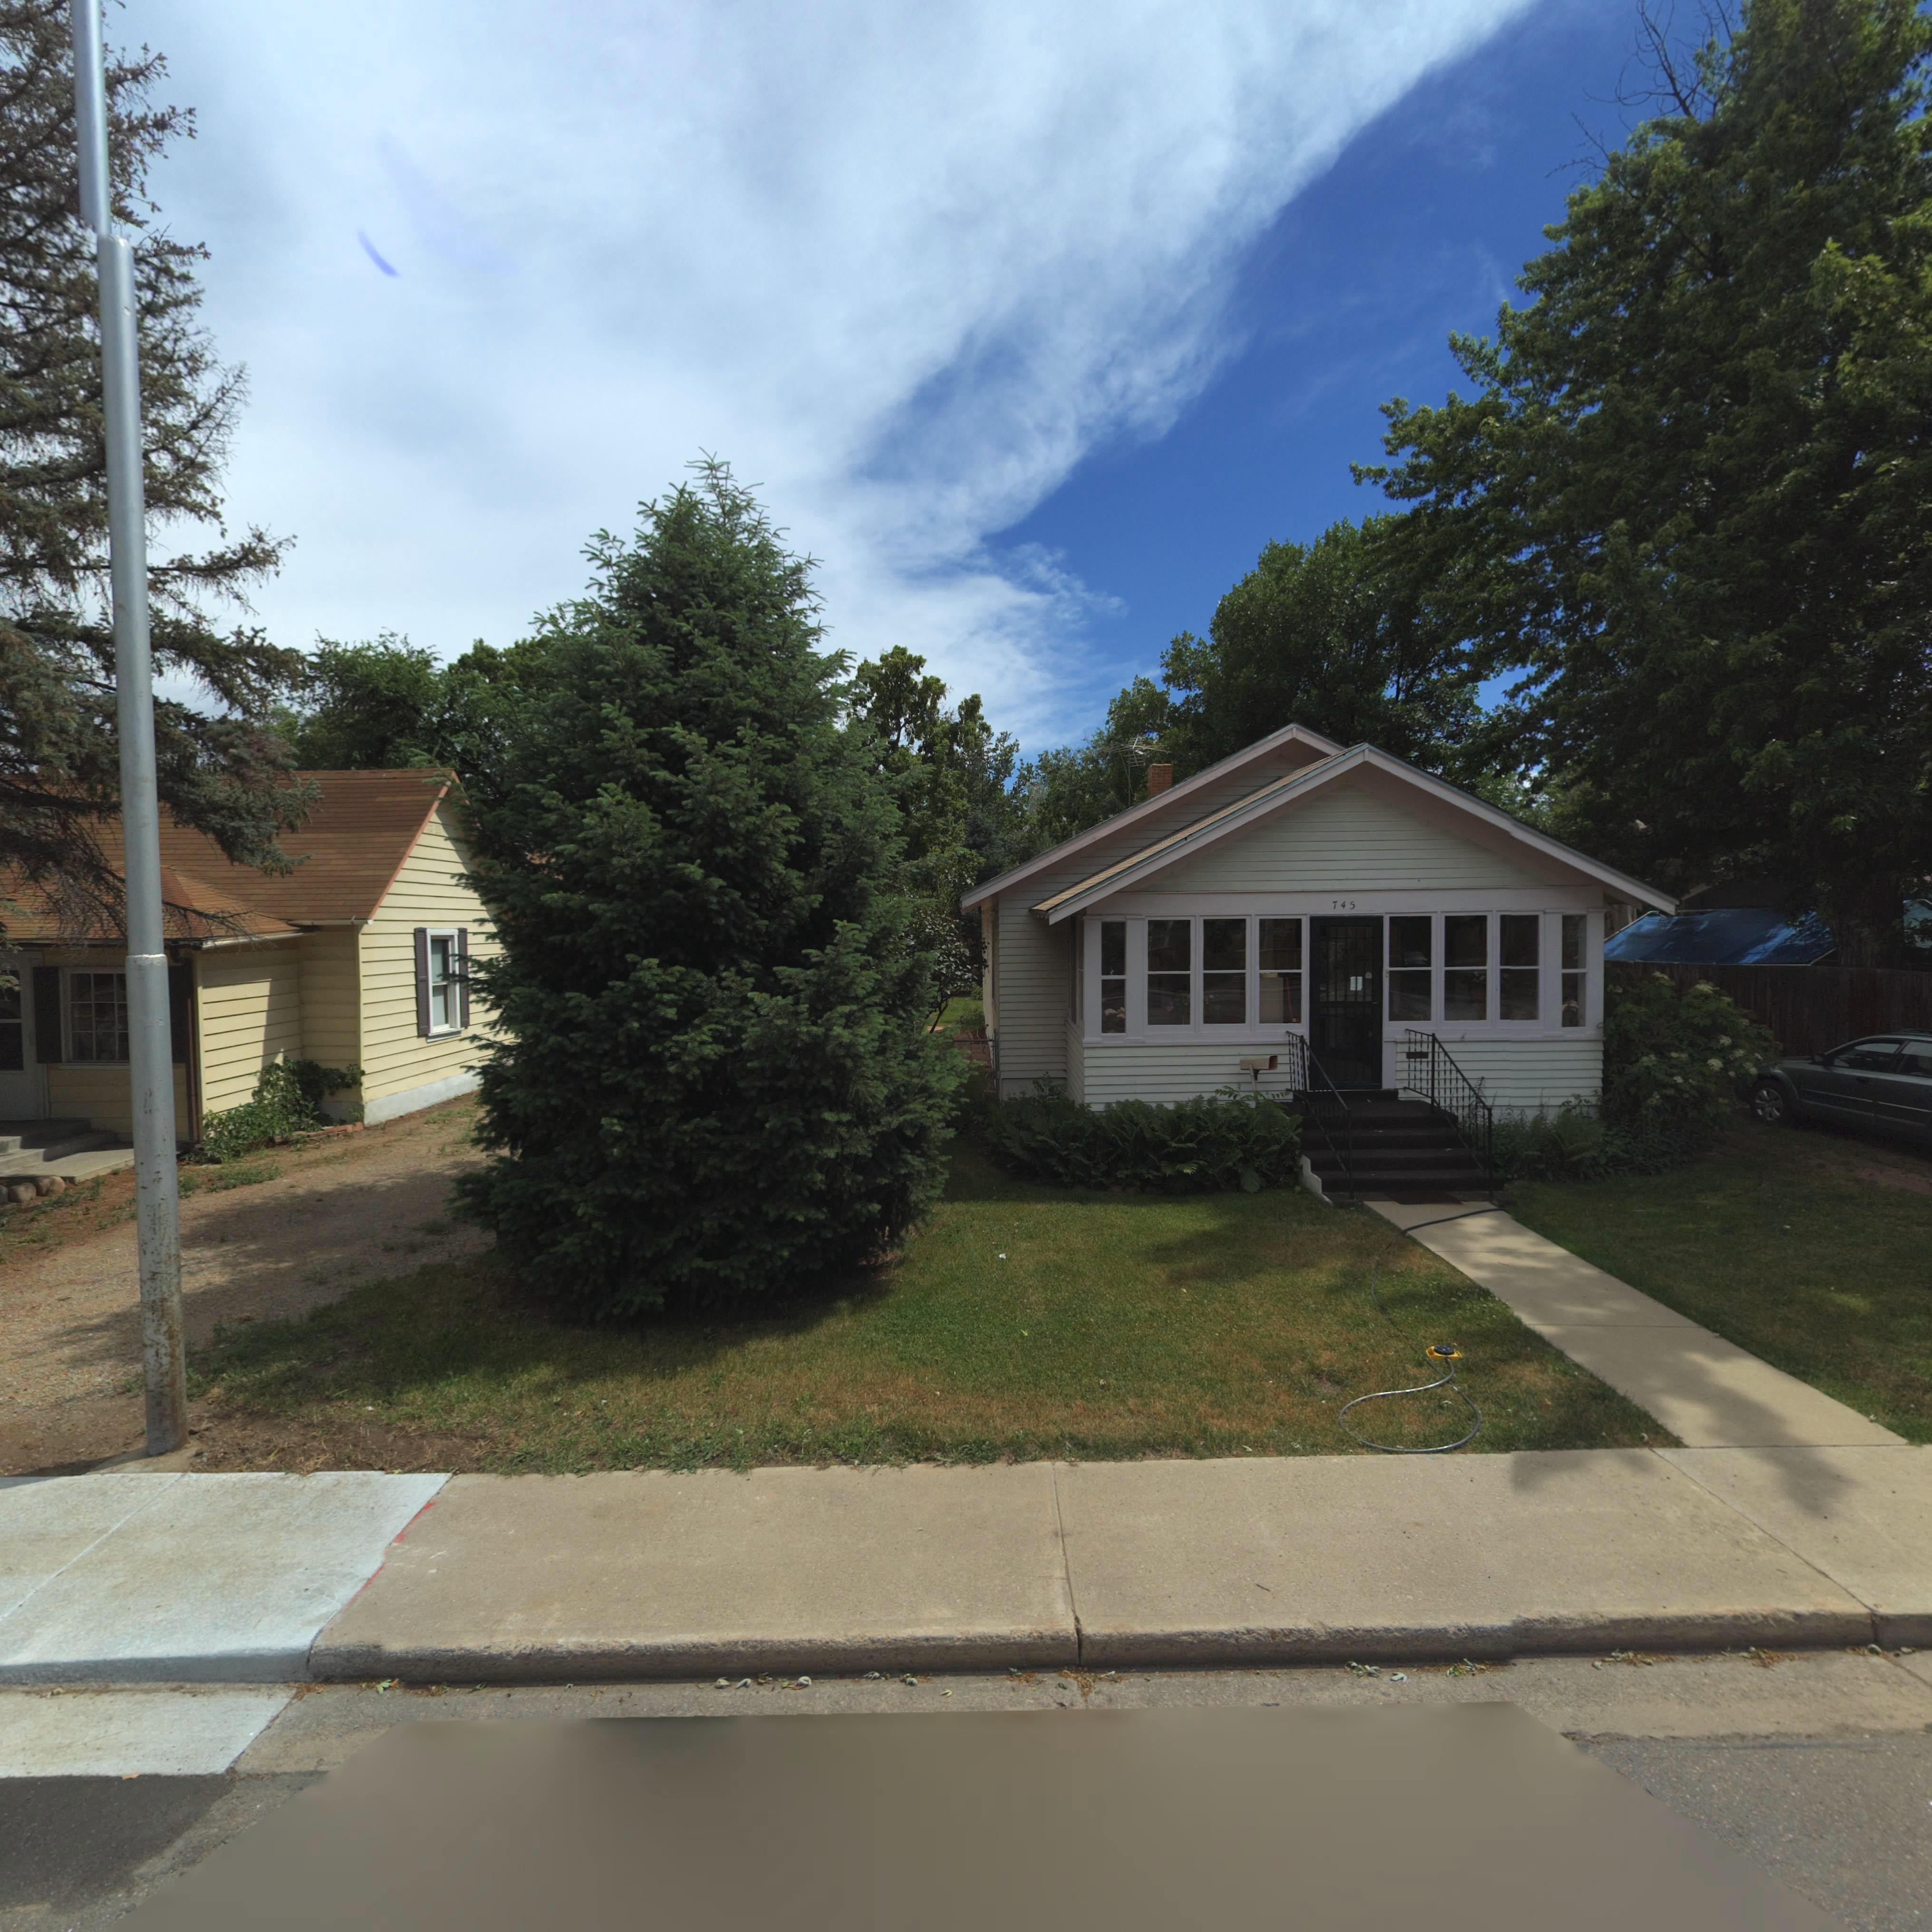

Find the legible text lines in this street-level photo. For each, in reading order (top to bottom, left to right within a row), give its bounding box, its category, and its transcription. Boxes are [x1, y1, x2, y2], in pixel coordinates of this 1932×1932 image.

[1332, 901, 1355, 910] StreetNumber: 745